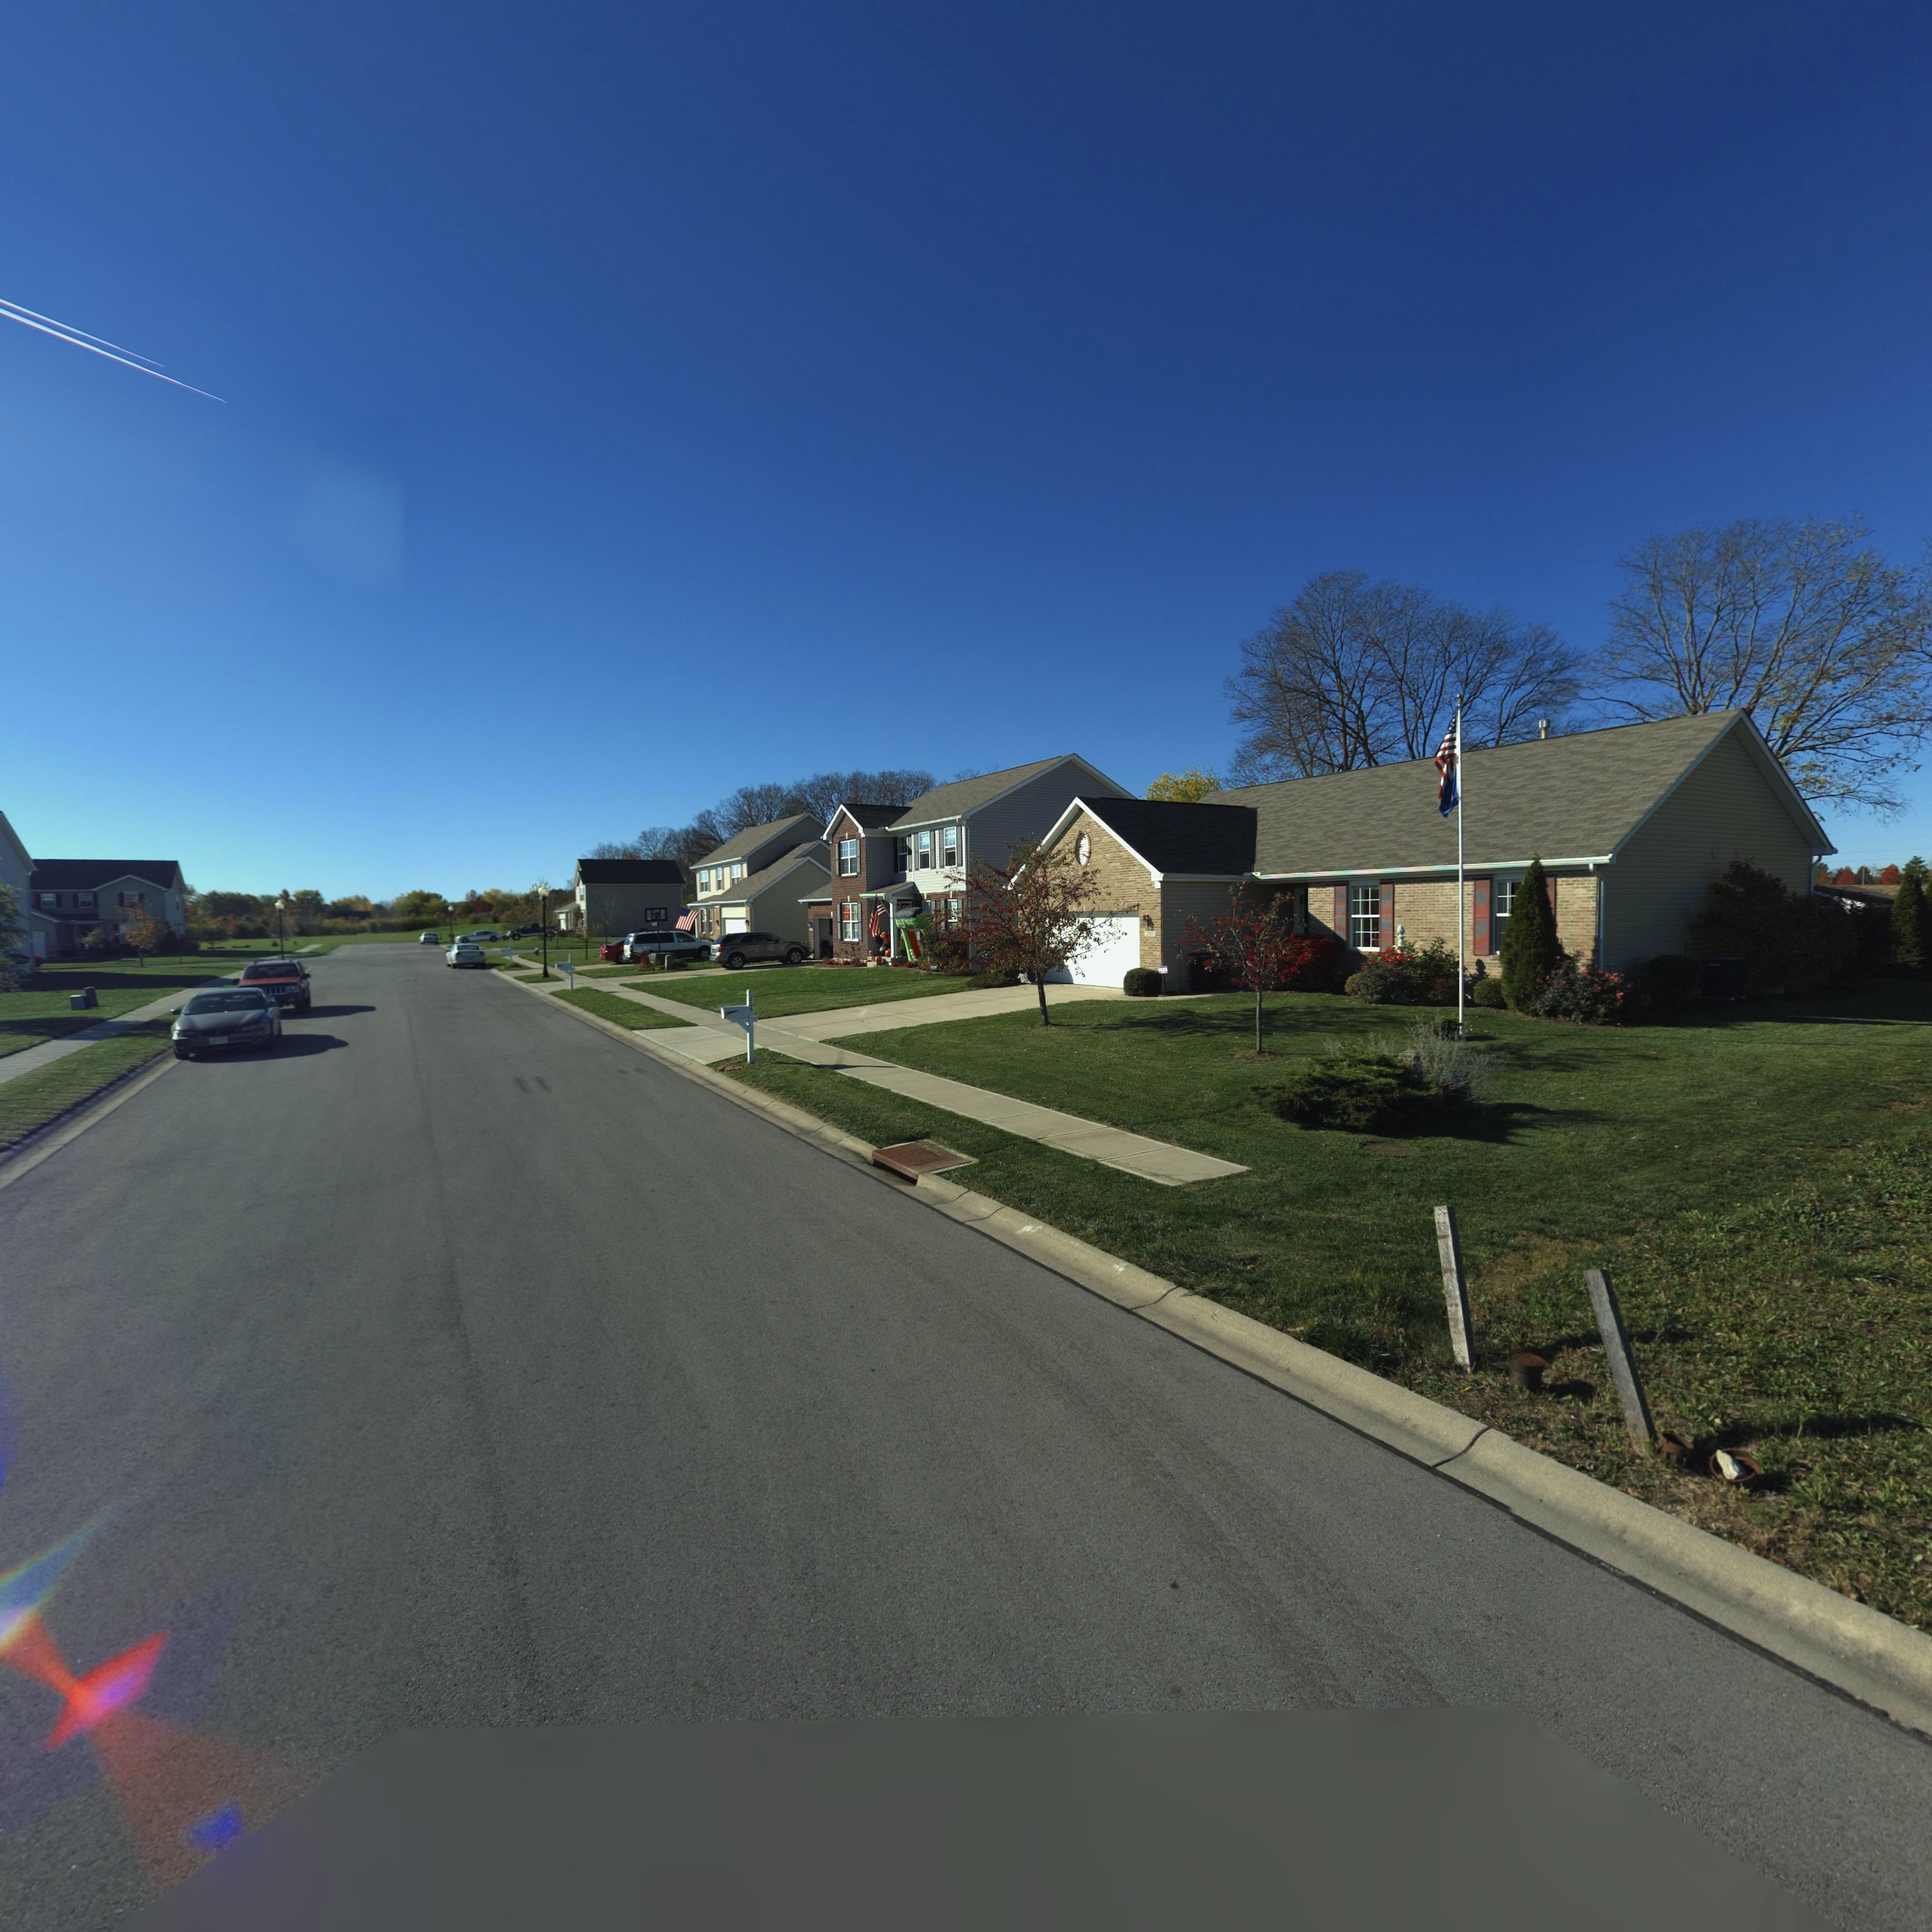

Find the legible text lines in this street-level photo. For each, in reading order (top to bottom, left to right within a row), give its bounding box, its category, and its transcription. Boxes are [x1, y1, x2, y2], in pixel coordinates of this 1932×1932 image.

[1146, 931, 1154, 936] StreetNumber: 205
[749, 996, 753, 1013] StreetNumber: 20*